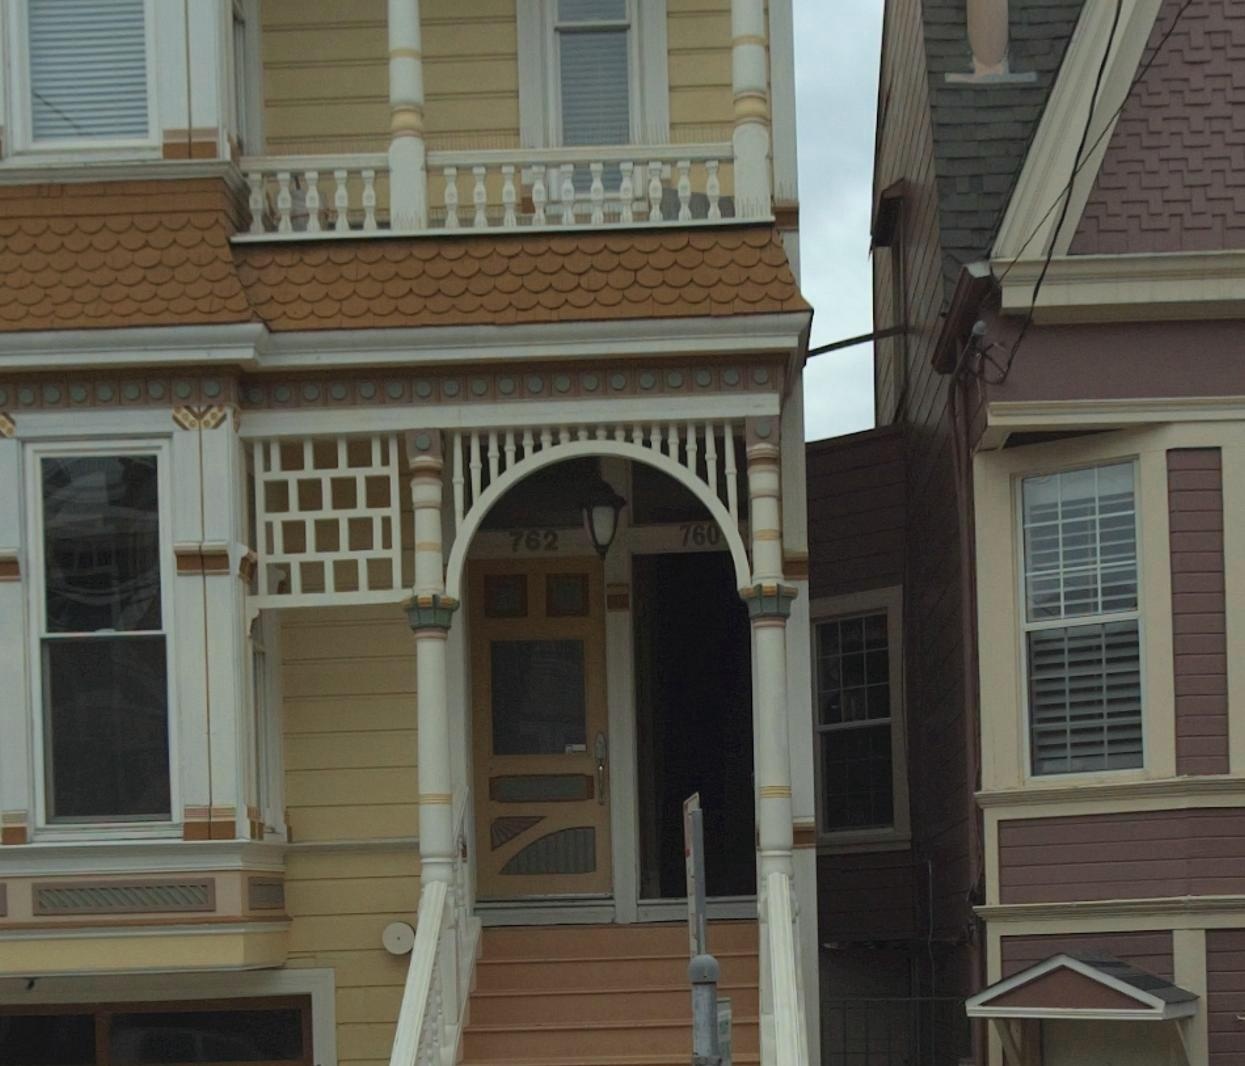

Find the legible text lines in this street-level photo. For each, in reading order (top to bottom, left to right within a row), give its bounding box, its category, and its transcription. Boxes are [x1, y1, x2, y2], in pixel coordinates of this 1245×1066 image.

[508, 529, 560, 555] StreetNumber: 762
[677, 523, 723, 549] StreetNumber: 760